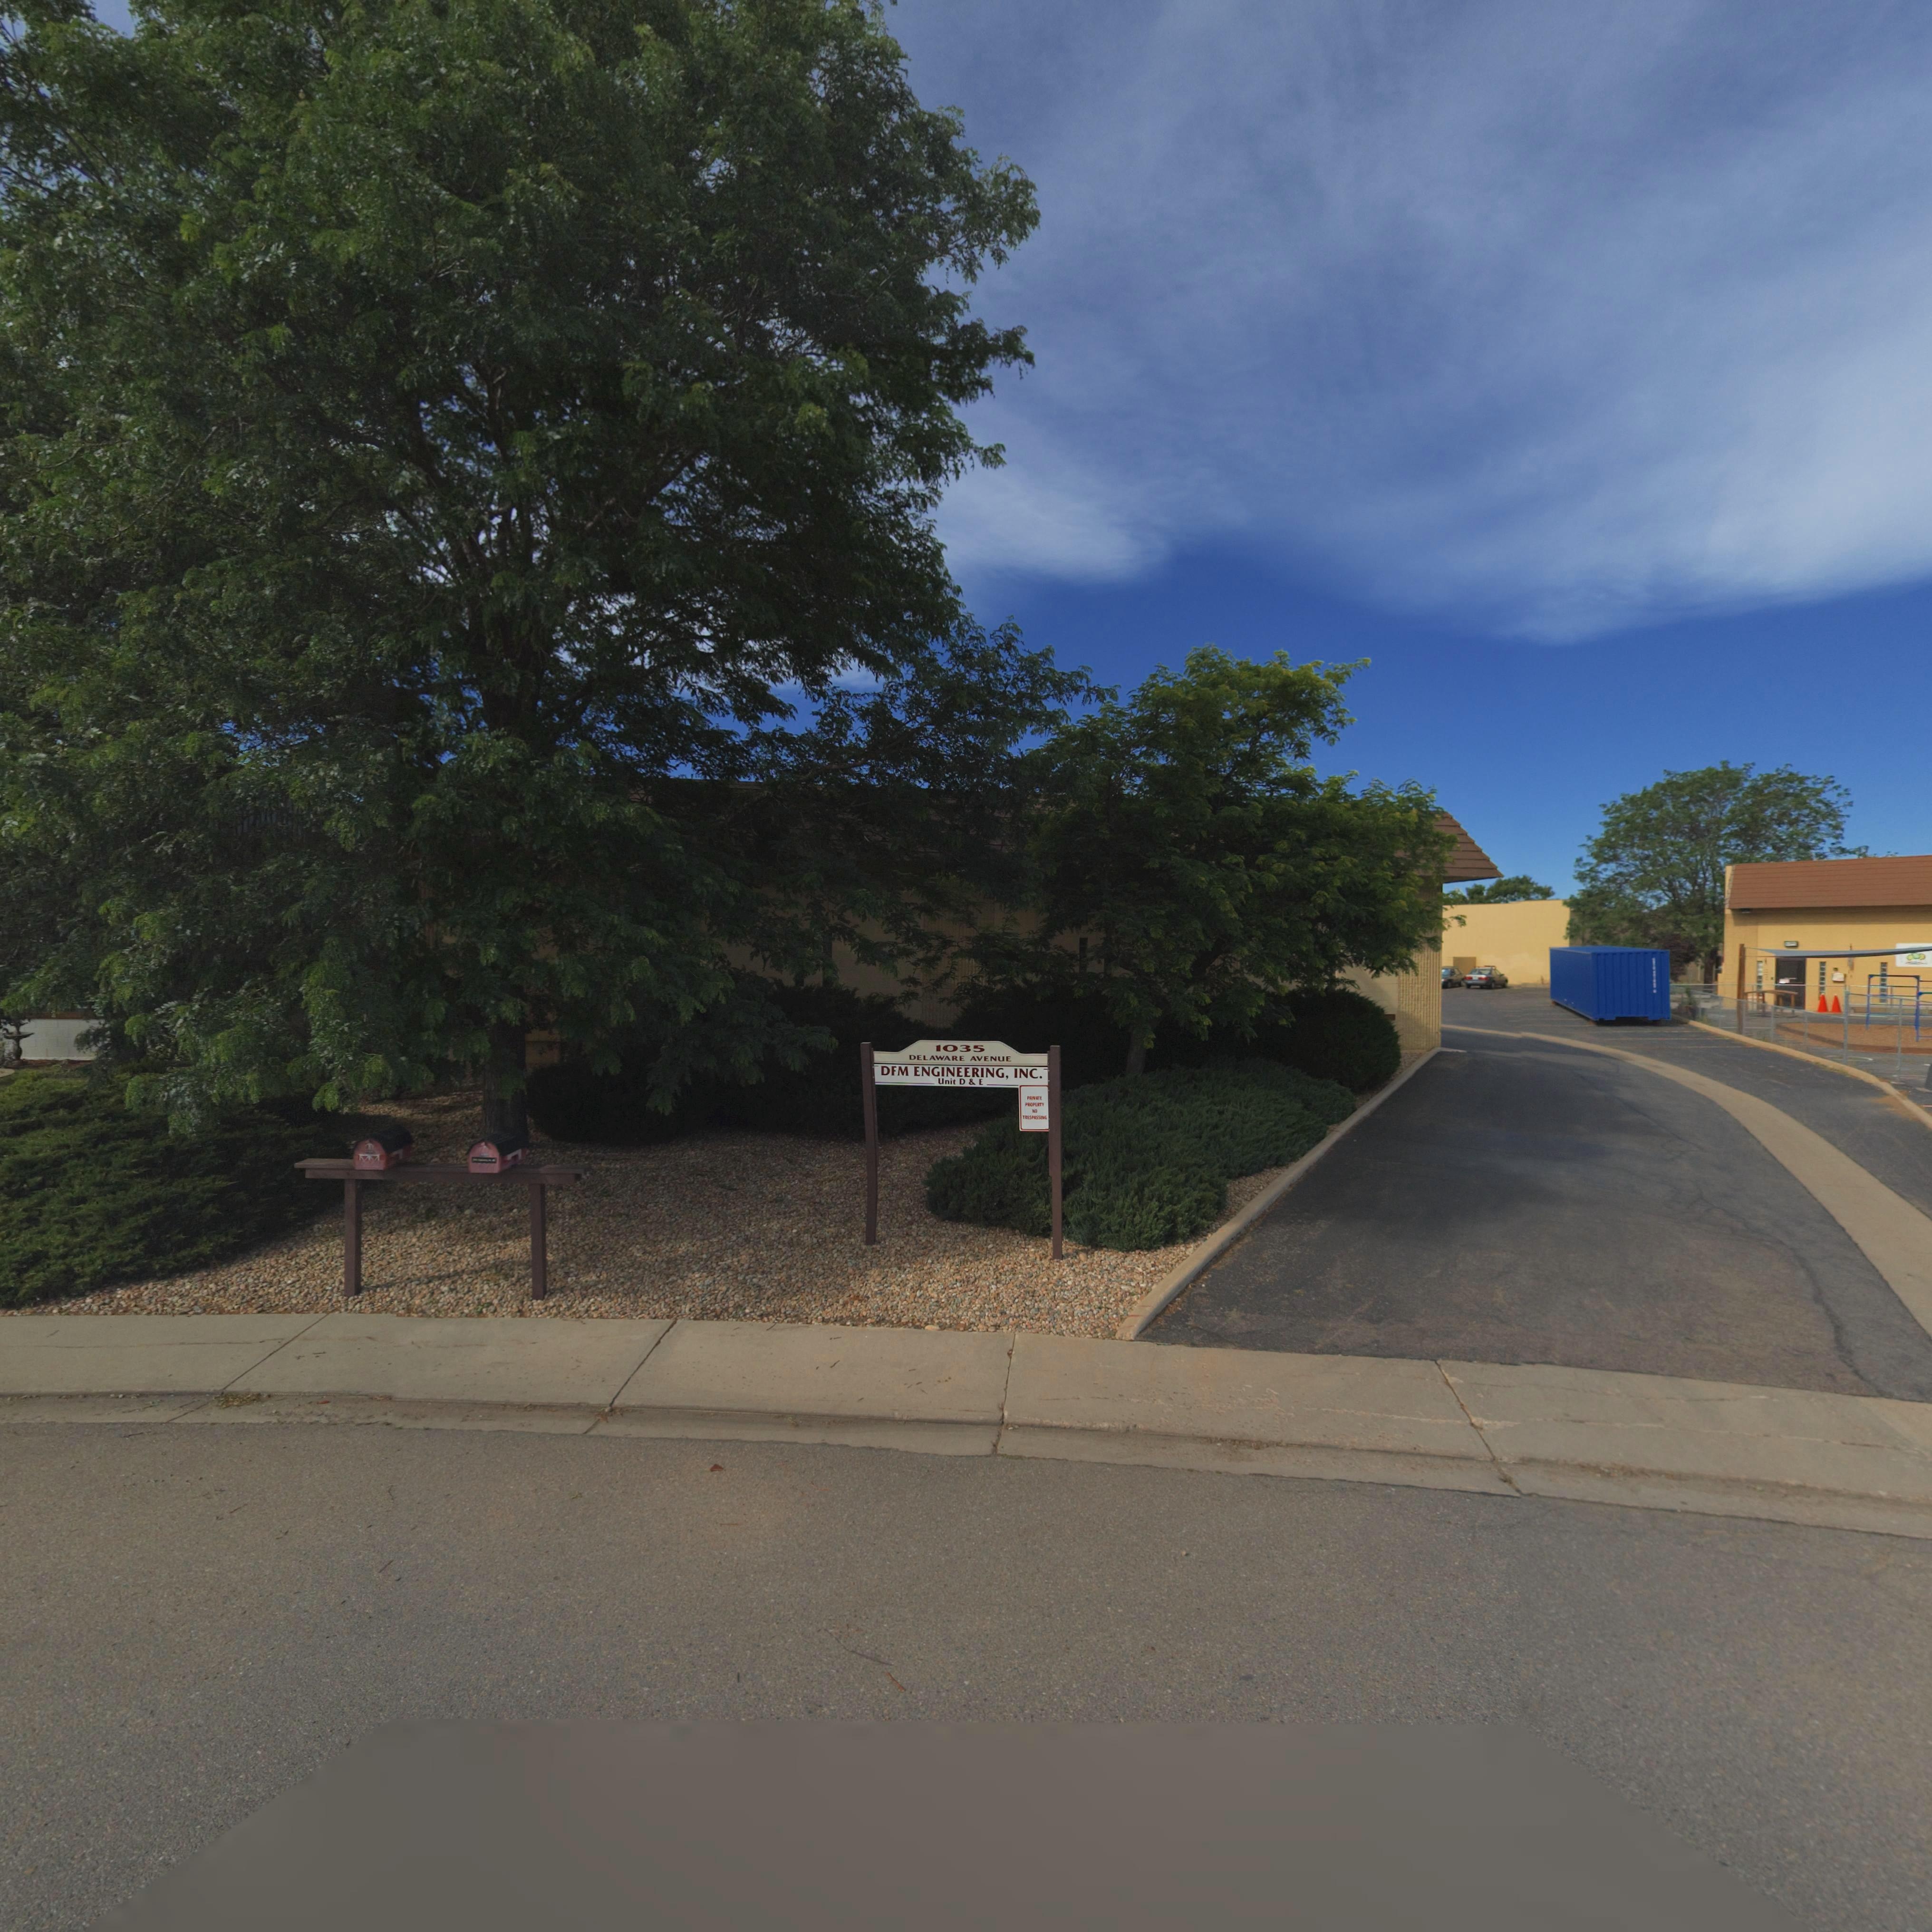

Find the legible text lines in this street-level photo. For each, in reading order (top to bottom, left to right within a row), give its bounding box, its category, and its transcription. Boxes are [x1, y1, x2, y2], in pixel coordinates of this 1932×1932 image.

[935, 1044, 985, 1053] StreetNumber: 1035
[908, 1054, 1011, 1062] StreetName: DELAWARE AVENUE
[880, 1065, 1043, 1080] BusinessName: DFM ENGINEERING, INC.
[937, 1077, 983, 1085] SecondaryUnitDesignator: Unit D & E